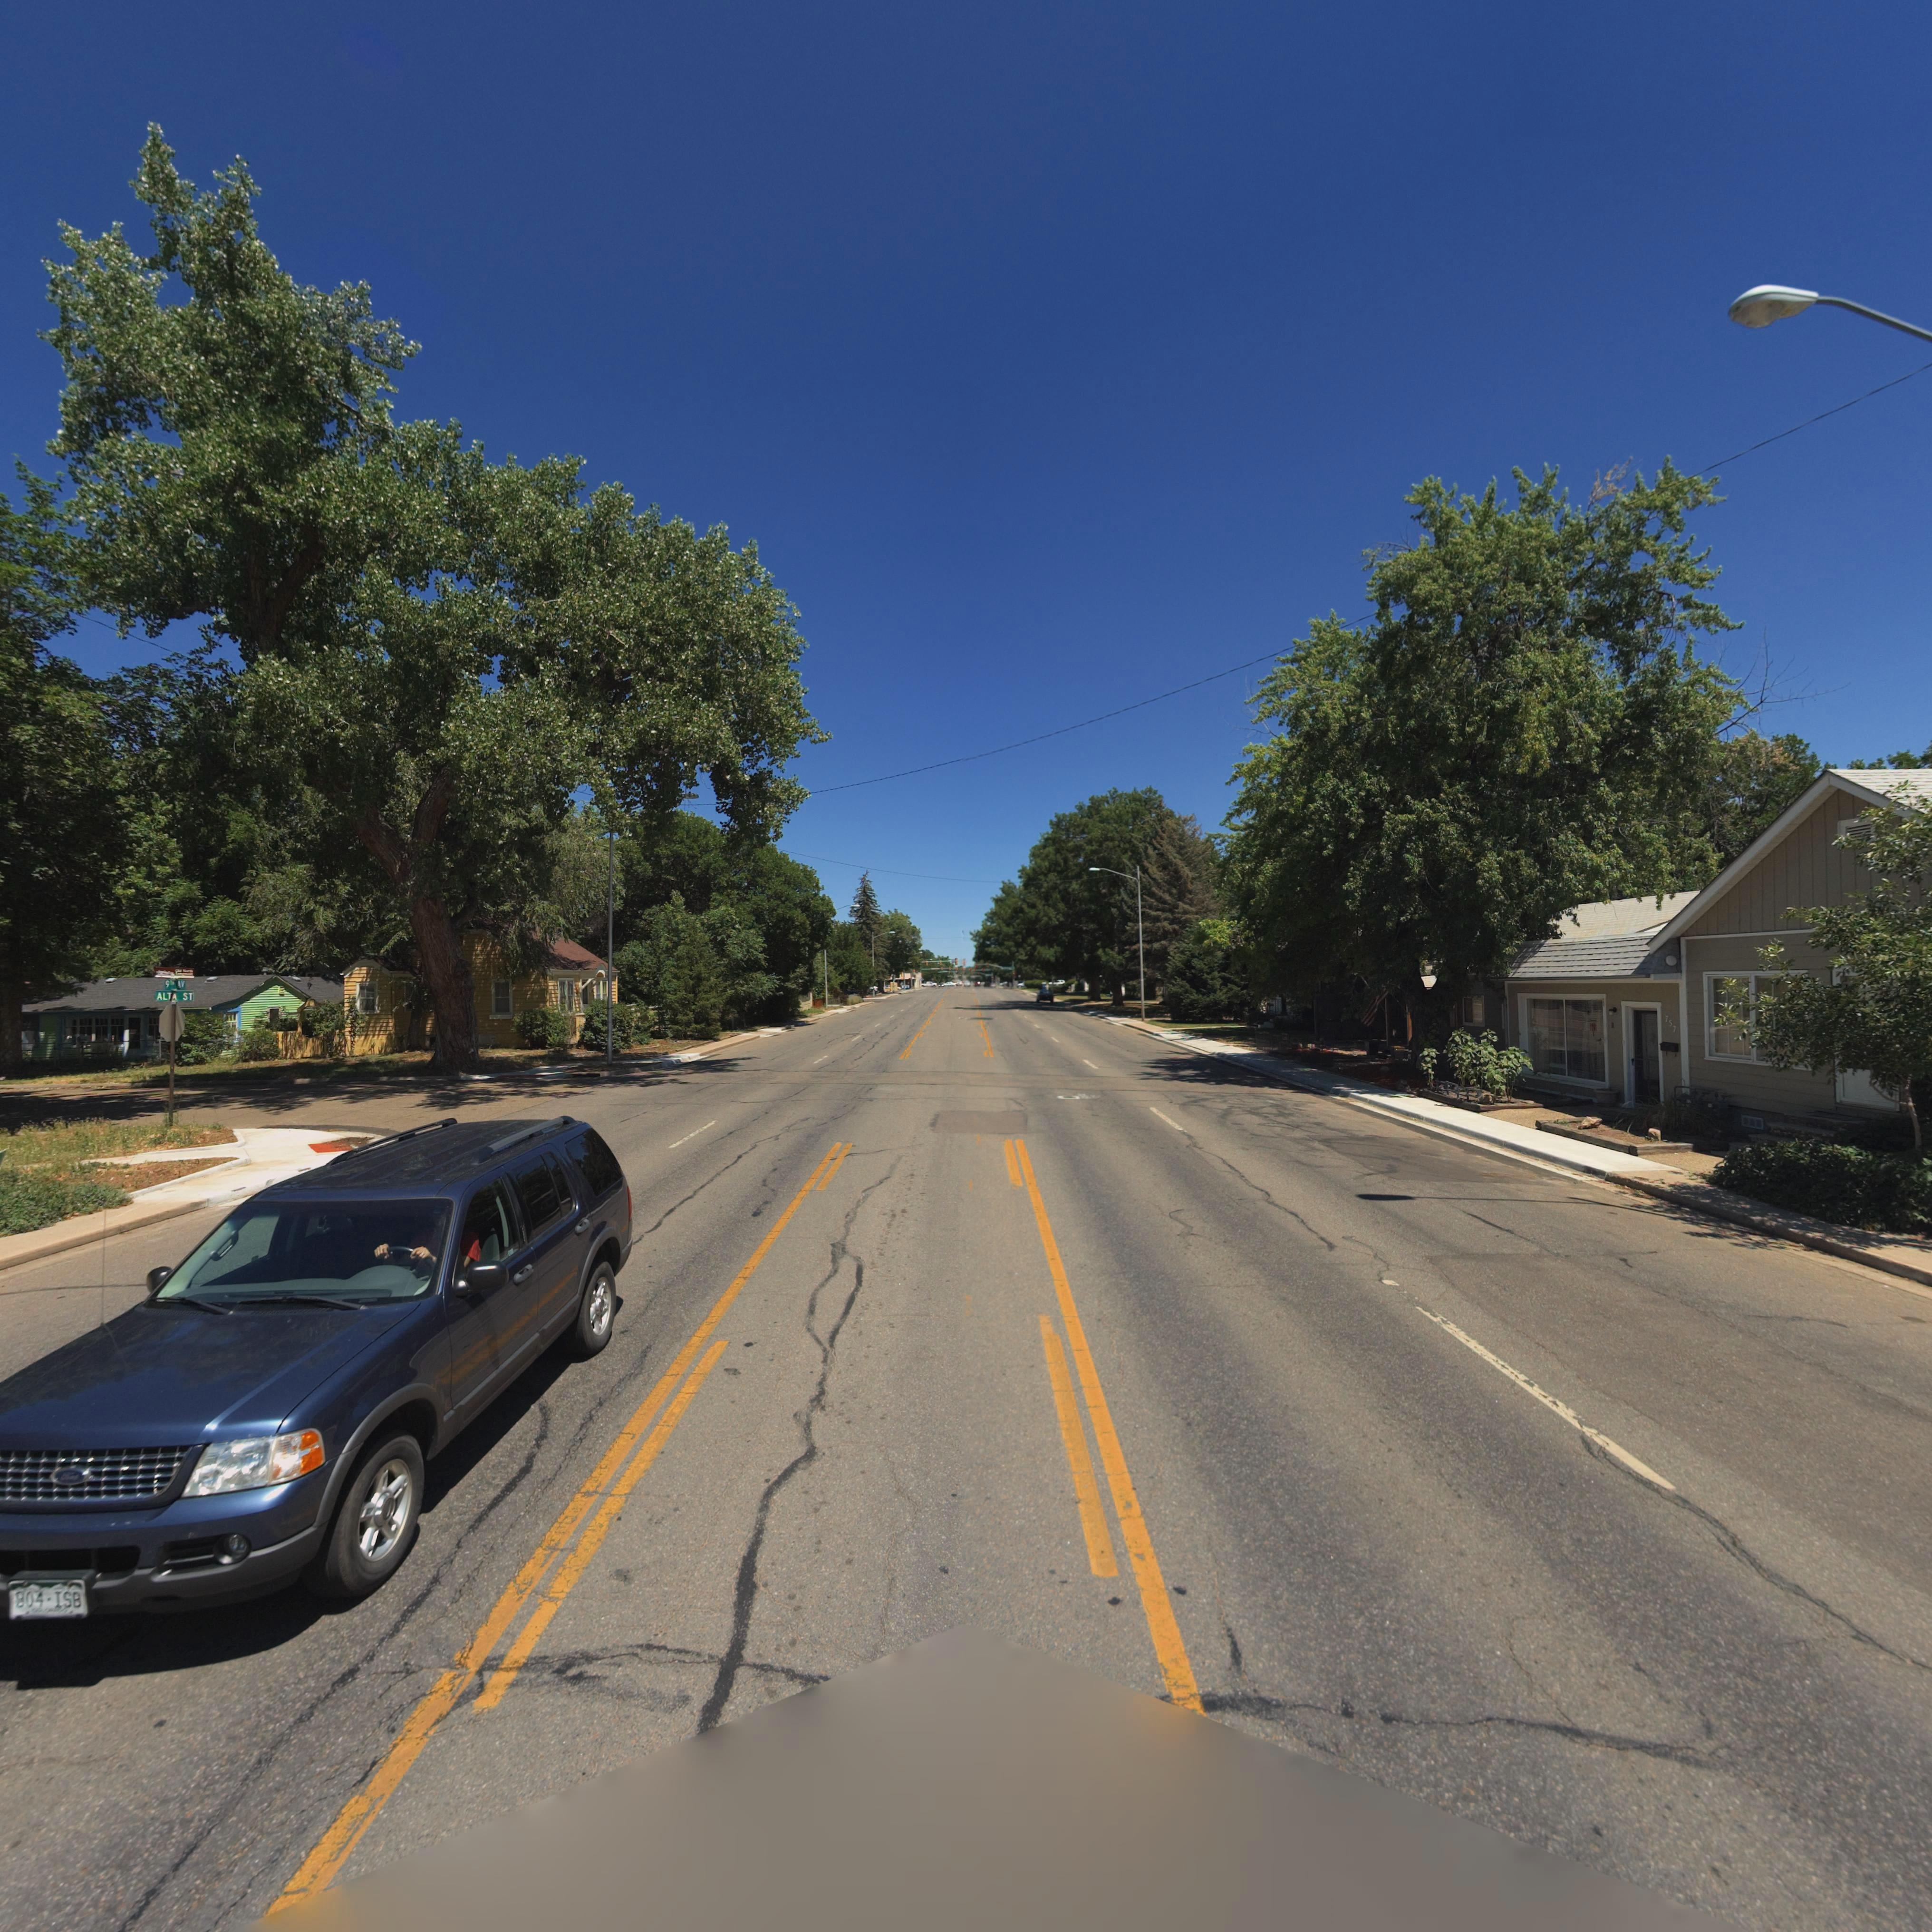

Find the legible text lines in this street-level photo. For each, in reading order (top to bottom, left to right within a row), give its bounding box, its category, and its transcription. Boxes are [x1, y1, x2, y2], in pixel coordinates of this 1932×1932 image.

[164, 980, 185, 988] StreetName: 9* AV
[156, 991, 193, 1001] StreetName: ALT* ST
[1664, 1014, 1677, 1032] StreetNumber: 757